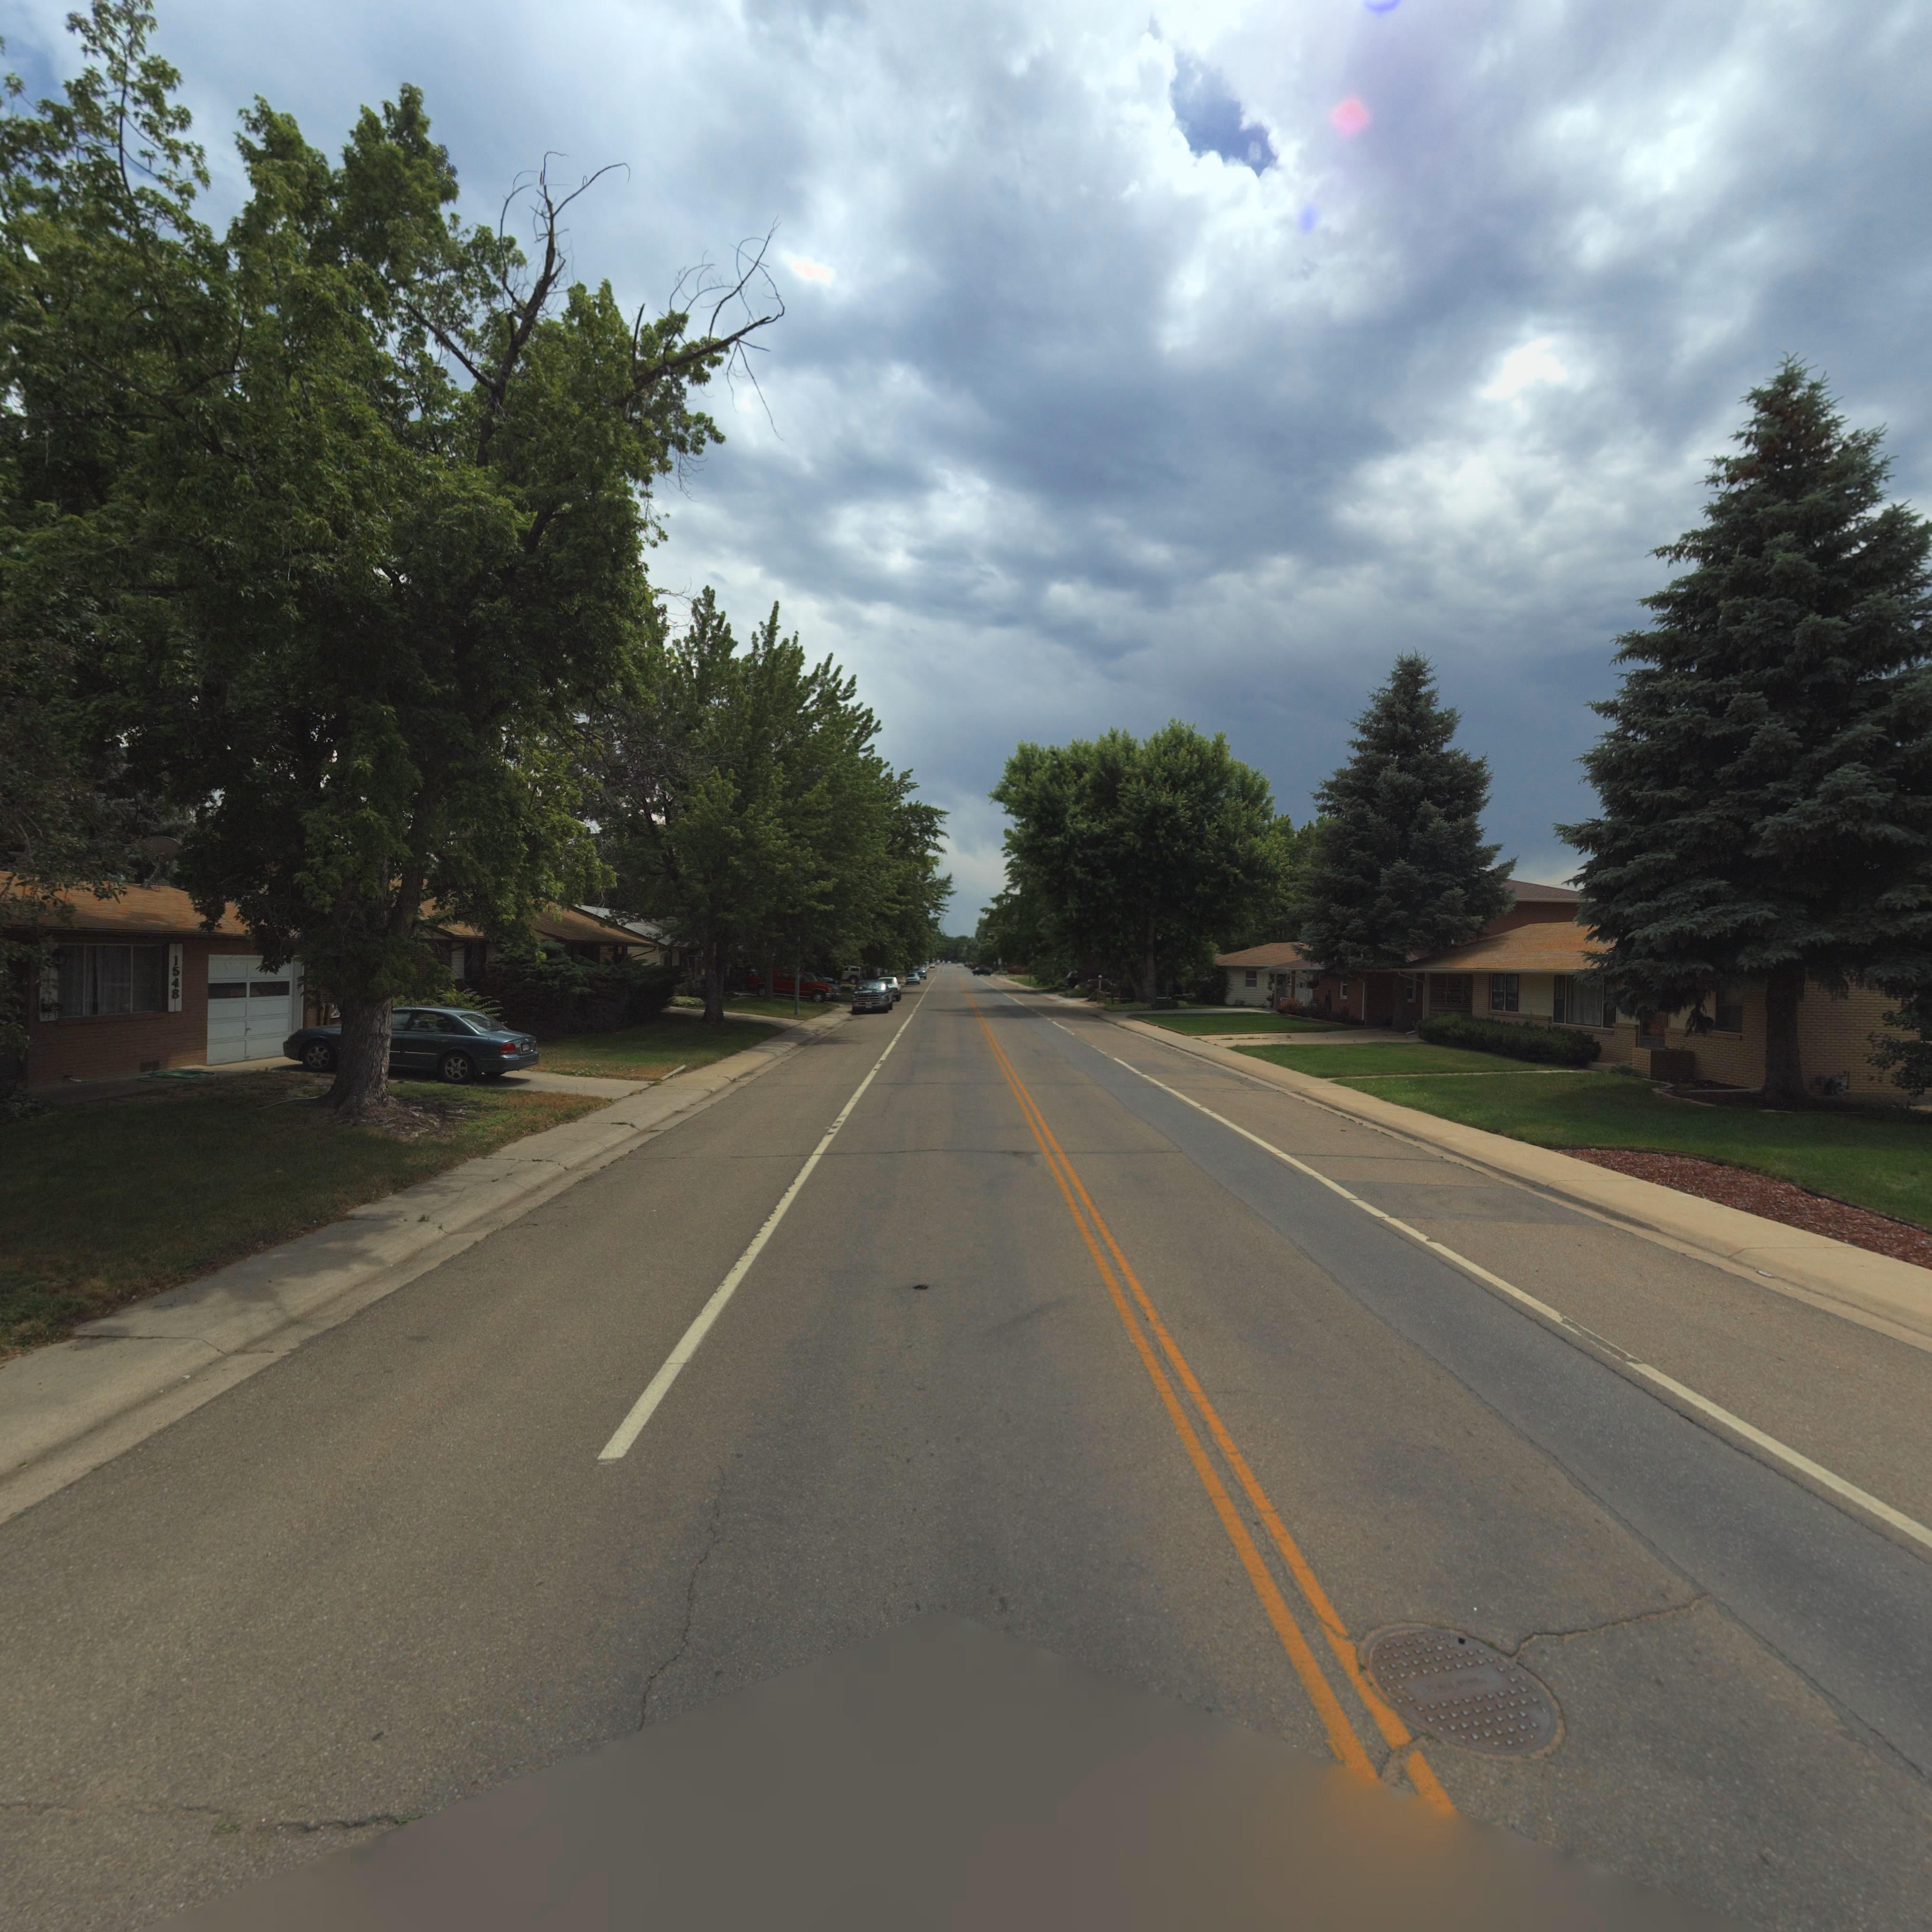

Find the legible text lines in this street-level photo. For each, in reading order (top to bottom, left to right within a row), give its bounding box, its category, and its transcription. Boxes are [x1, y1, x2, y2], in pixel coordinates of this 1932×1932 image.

[170, 955, 181, 1000] StreetNumber: 1548